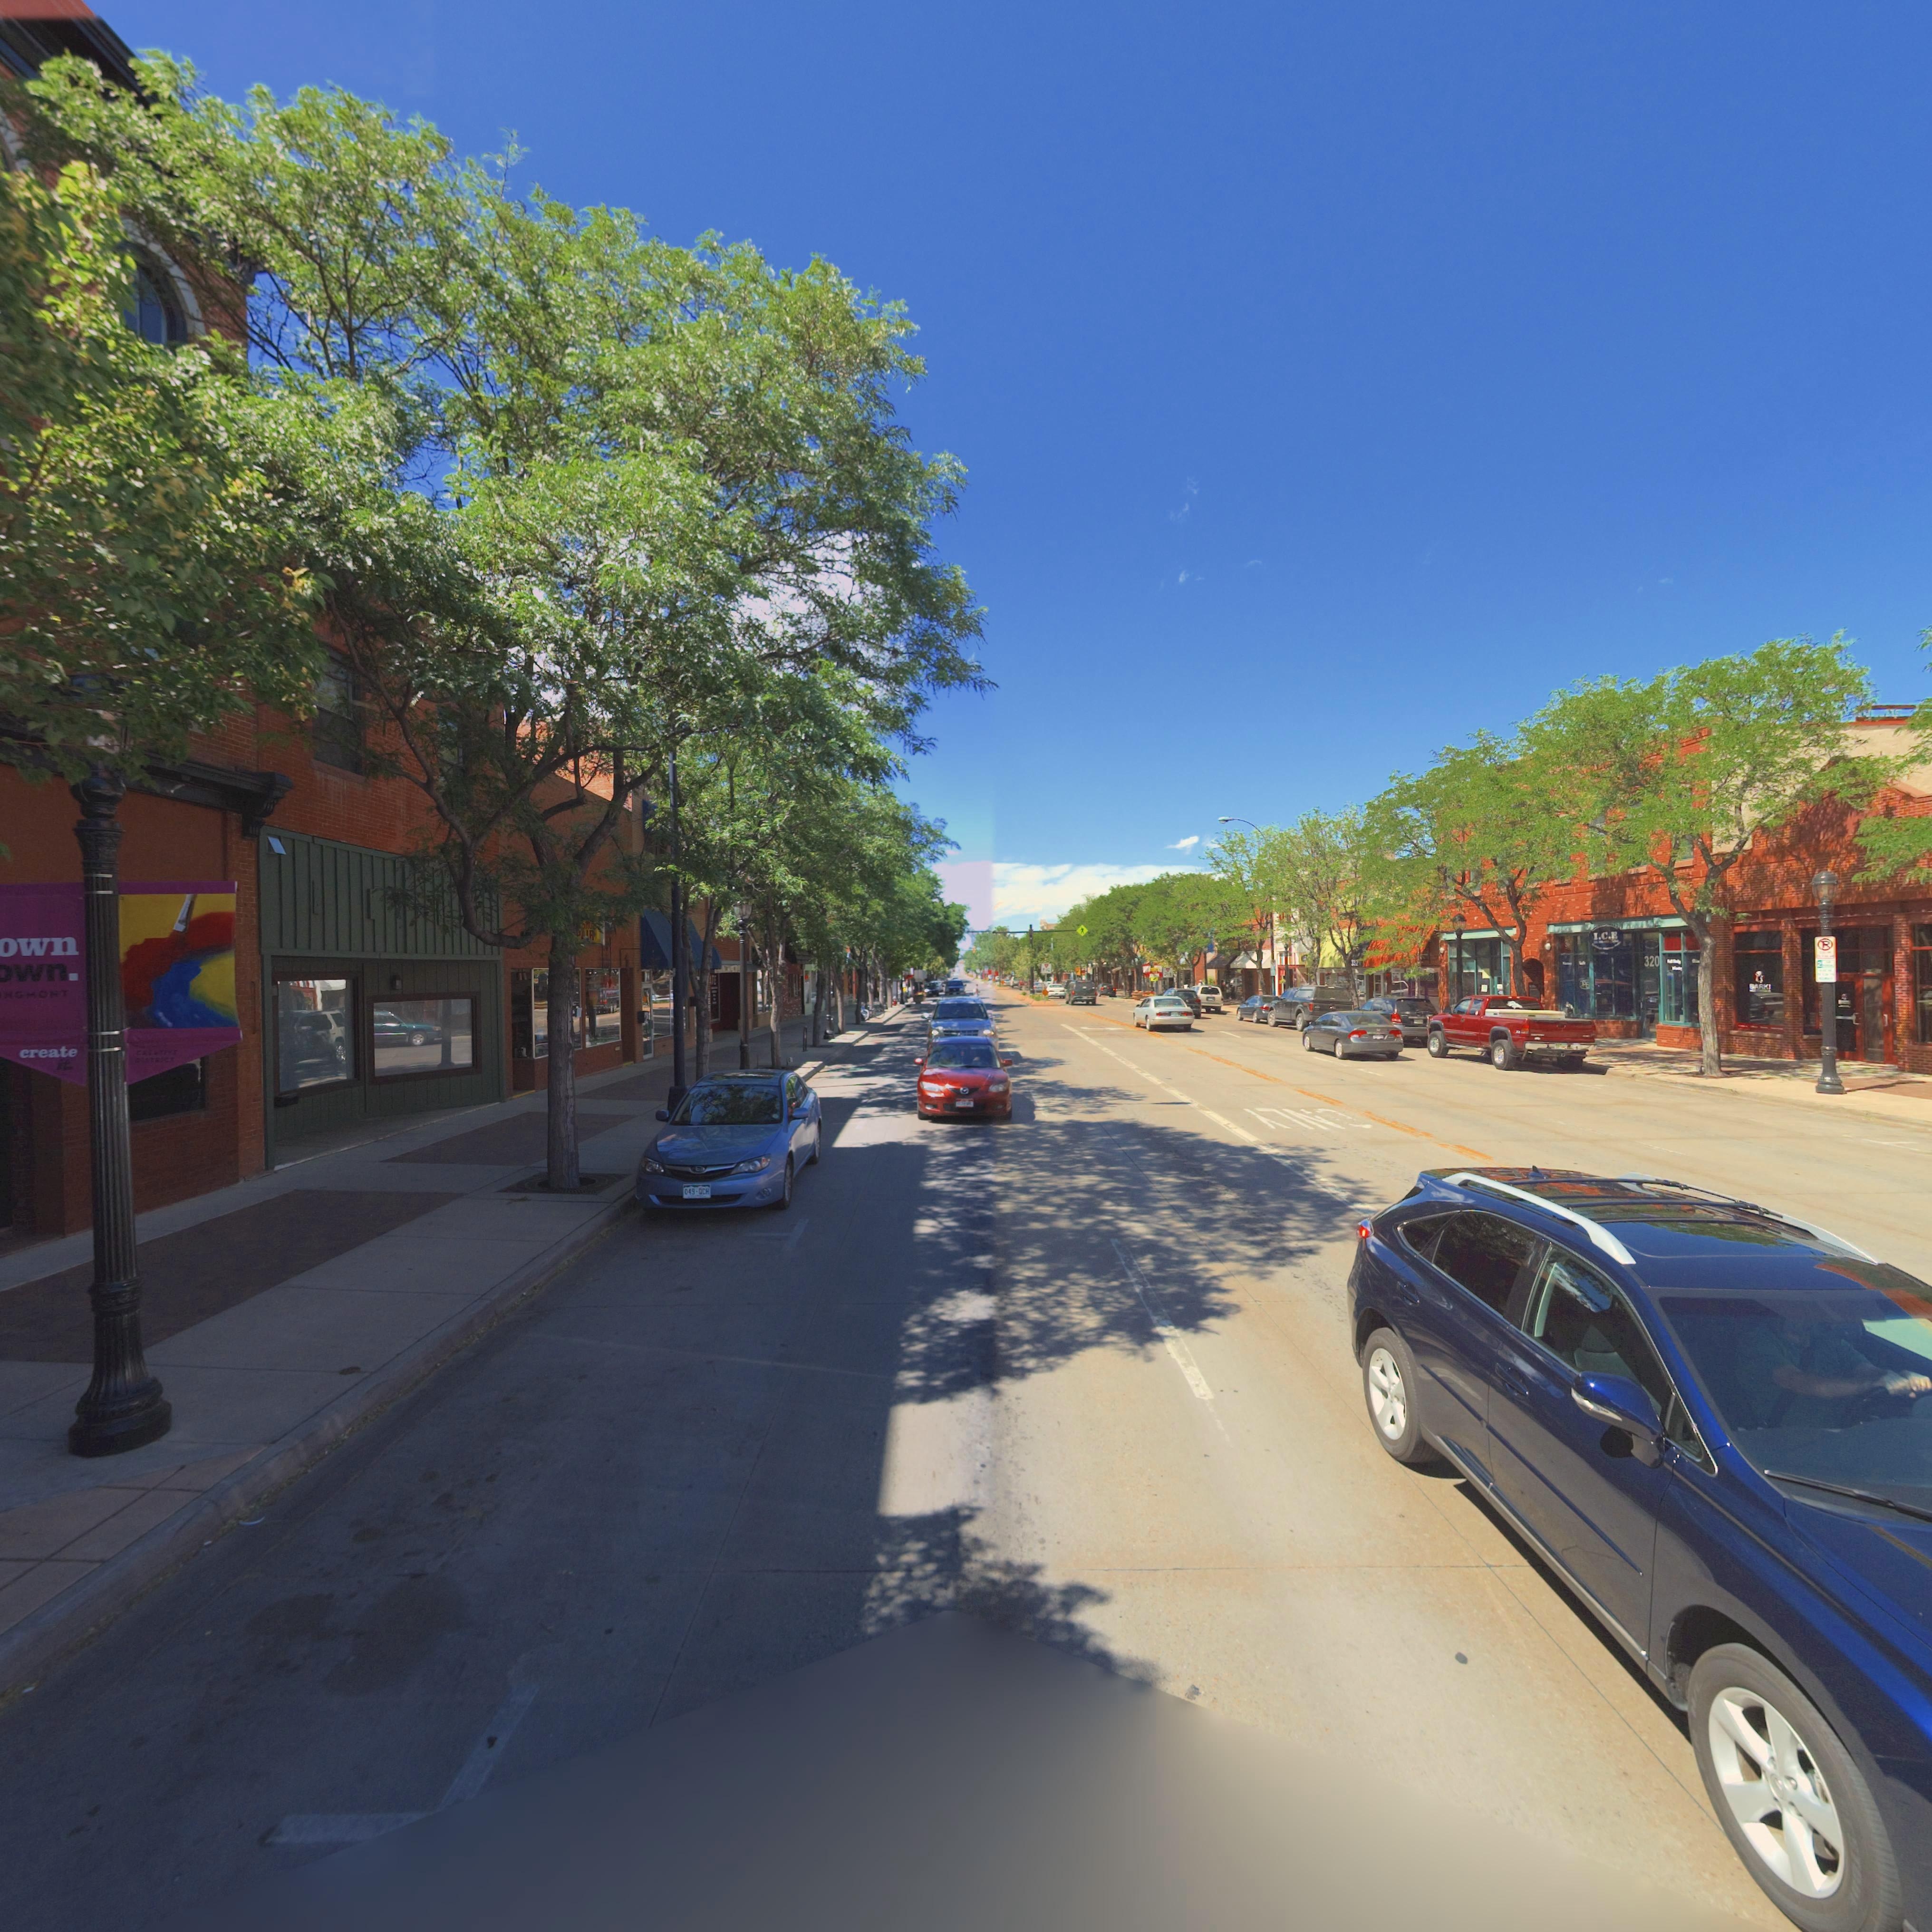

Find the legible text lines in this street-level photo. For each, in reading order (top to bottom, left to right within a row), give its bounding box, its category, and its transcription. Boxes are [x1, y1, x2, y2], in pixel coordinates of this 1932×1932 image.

[1593, 930, 1618, 940] BusinessName: I.C.*
[1351, 959, 1358, 966] StreetNumber: 332
[1643, 955, 1659, 967] StreetNumber: 320
[709, 974, 716, 985] BusinessName: *TE
[1749, 983, 1772, 990] BusinessName: BARK!
[707, 991, 711, 1011] StreetNumber: 325